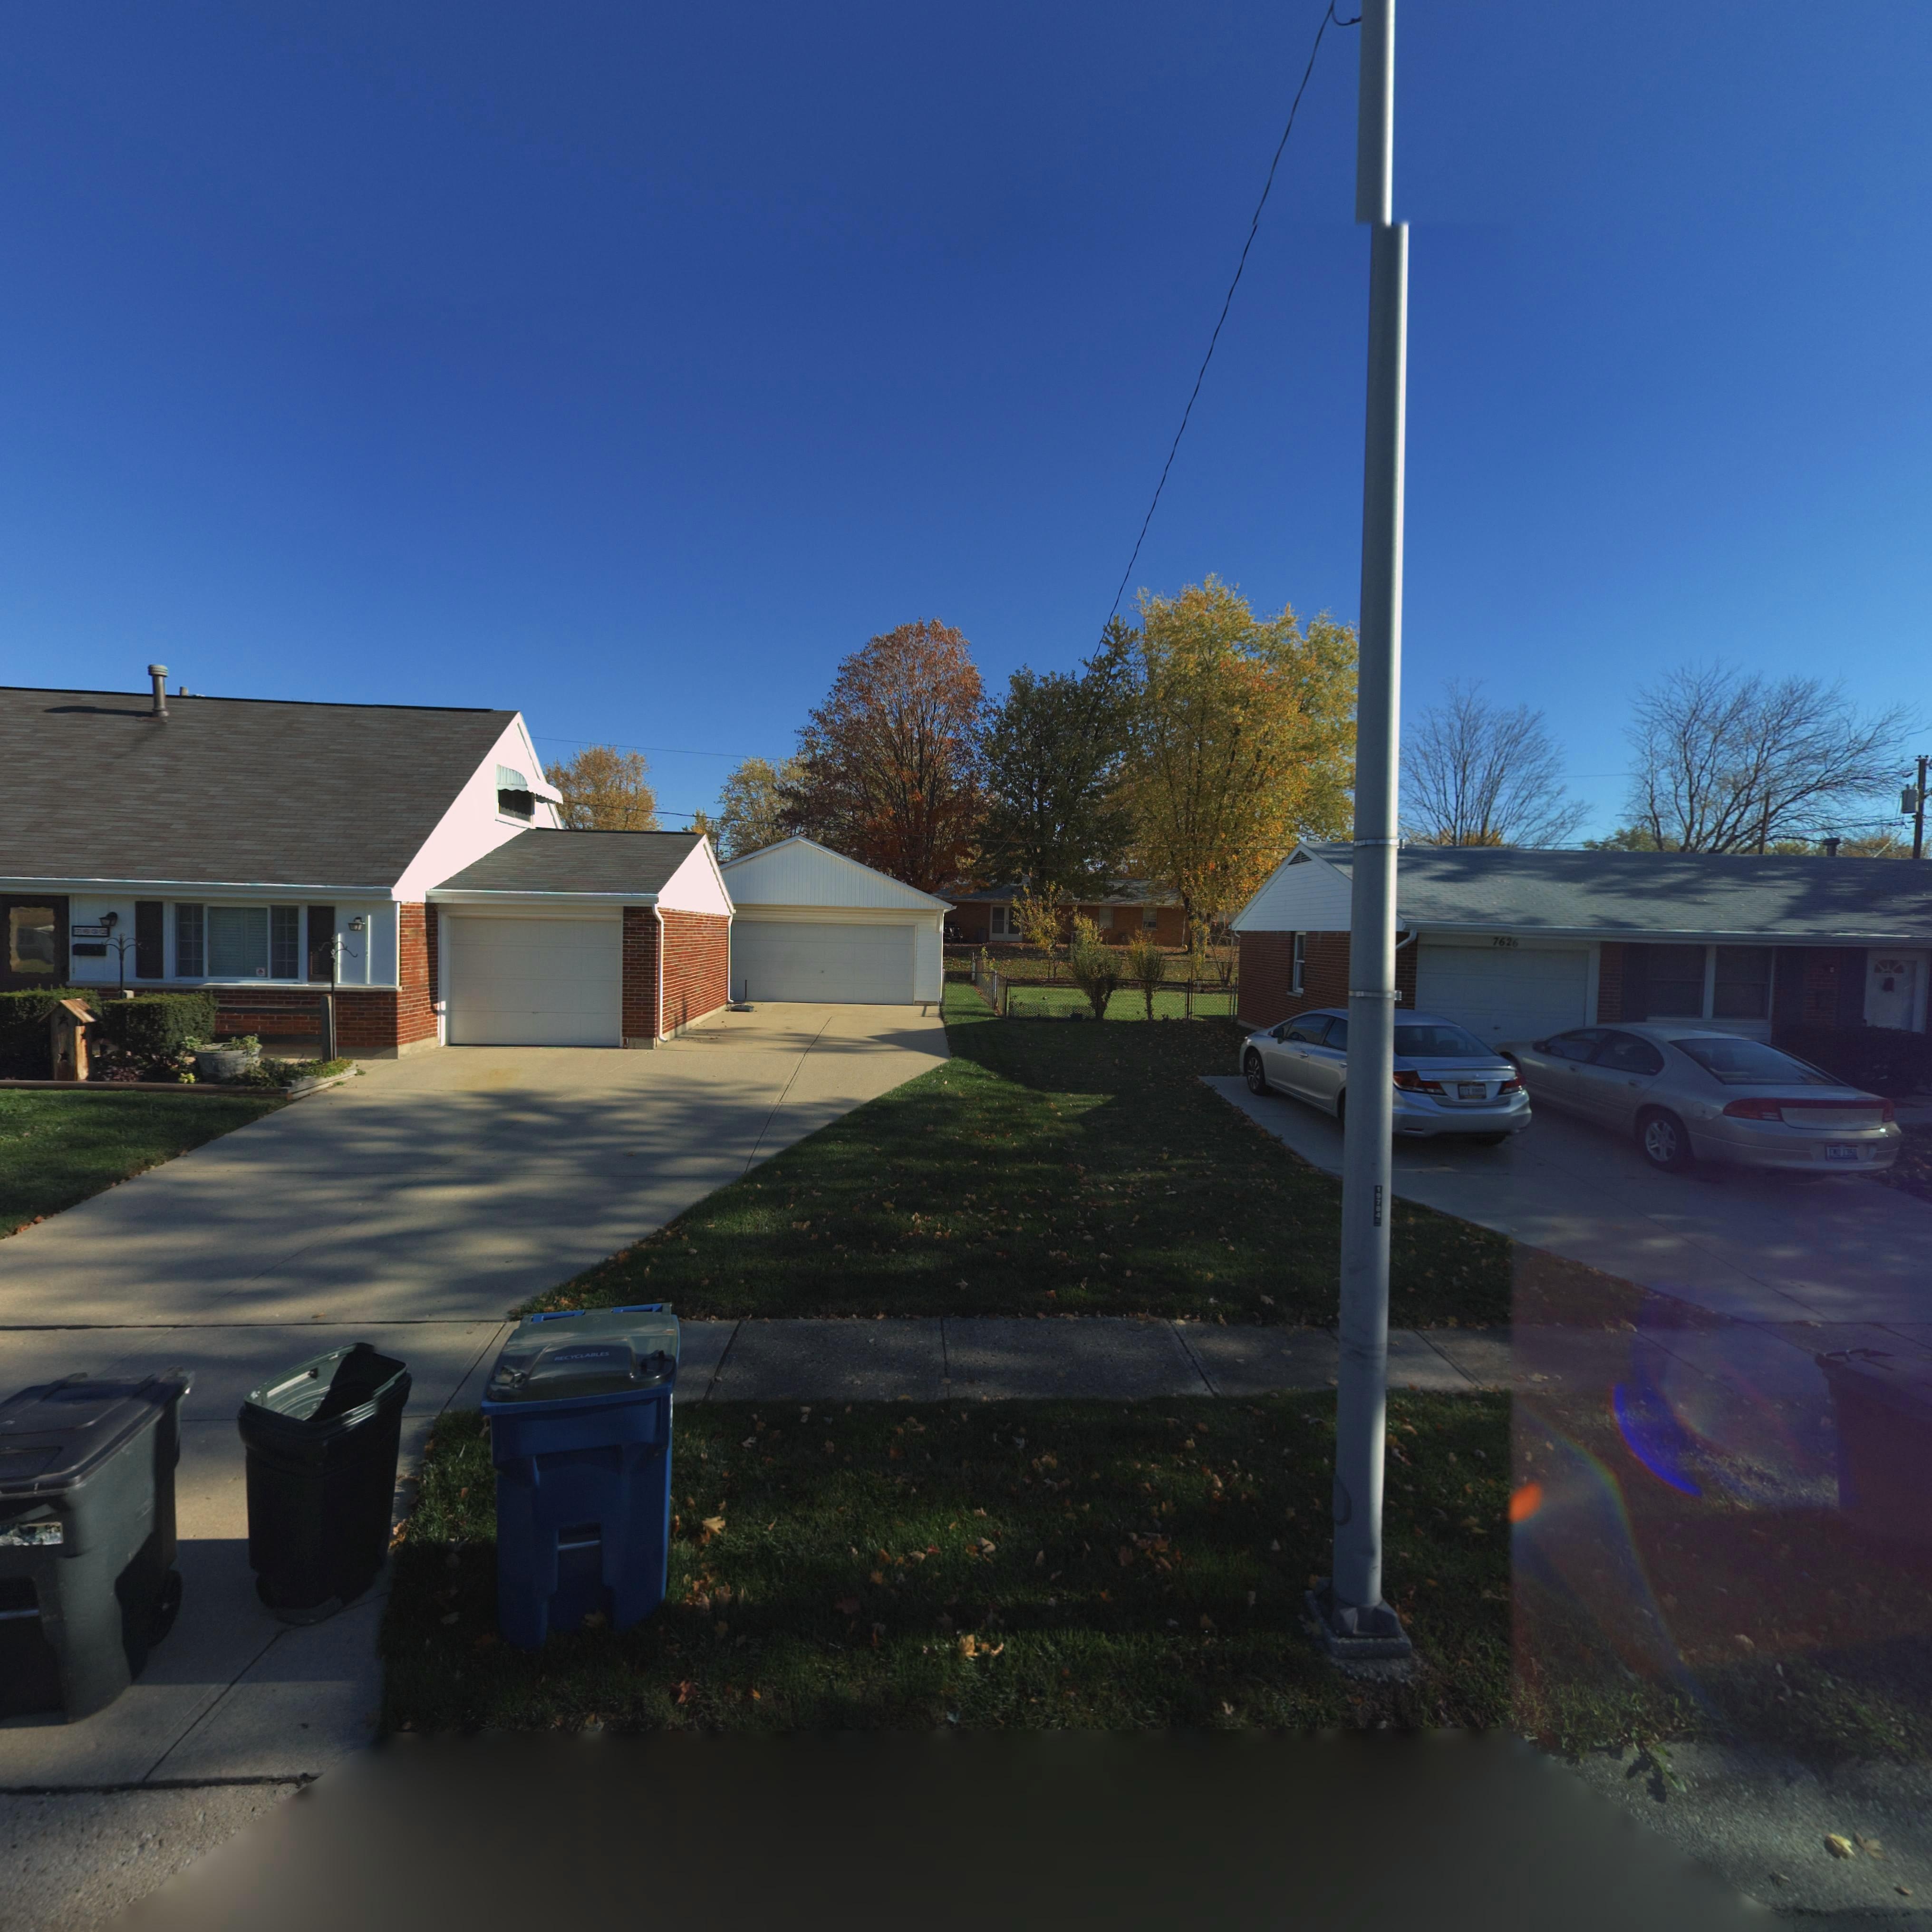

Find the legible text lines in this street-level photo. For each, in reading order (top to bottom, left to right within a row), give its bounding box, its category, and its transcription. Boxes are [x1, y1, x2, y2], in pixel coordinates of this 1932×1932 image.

[1491, 936, 1520, 949] StreetNumber: 7626